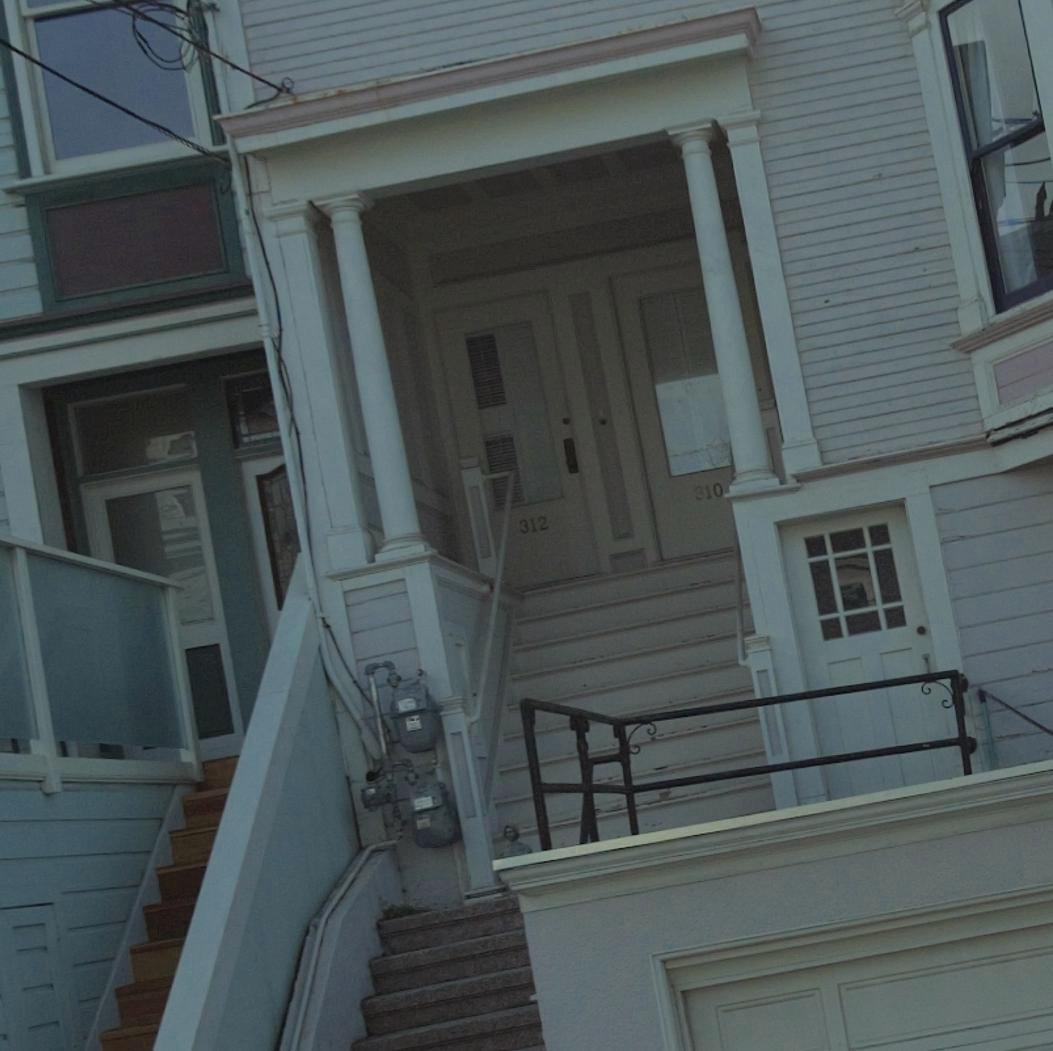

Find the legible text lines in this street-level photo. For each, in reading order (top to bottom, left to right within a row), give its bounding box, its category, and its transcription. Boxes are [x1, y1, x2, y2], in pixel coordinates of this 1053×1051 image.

[693, 482, 725, 502] StreetNumber: 310
[518, 513, 550, 535] StreetNumber: 312